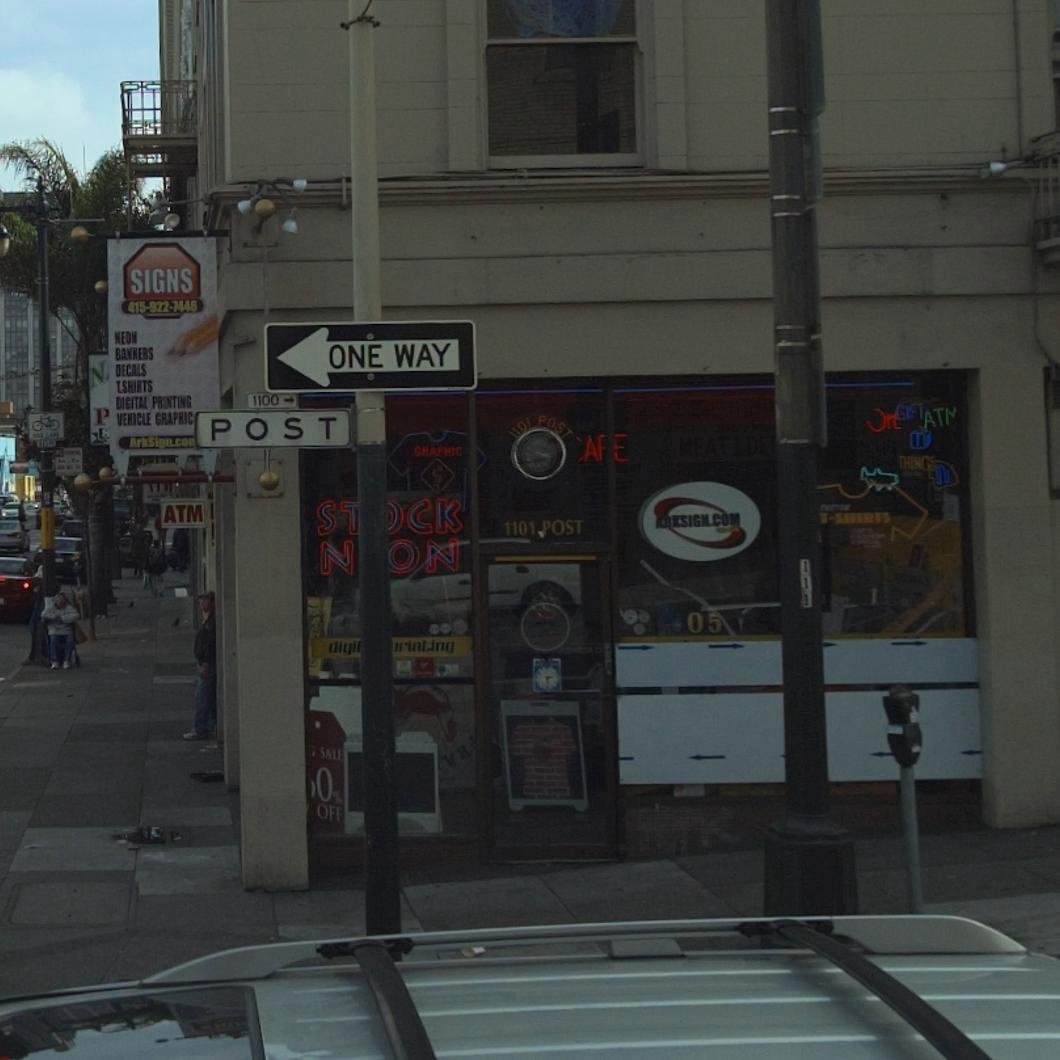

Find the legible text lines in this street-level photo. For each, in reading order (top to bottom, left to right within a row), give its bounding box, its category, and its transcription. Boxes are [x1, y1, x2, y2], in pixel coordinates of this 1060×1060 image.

[127, 264, 197, 299] None: SIGNS
[125, 296, 201, 316] None: 415-922-744*
[112, 328, 141, 347] None: NEON
[87, 354, 108, 394] None: N
[113, 361, 149, 379] None: DECALS
[113, 344, 156, 363] None: BANNERS
[113, 377, 156, 395] None: TSHIRTS
[327, 341, 453, 372] None: ONE WAY
[113, 392, 195, 412] None: DIGITAL PRINTING
[250, 392, 297, 408] StreetNumberRange: 1100->
[90, 404, 113, 429] None: P
[113, 409, 197, 429] None: VEHICLE GRAPHIC
[208, 414, 340, 444] StreetName: POST
[503, 413, 535, 442] StreetNumber: 1101
[534, 410, 578, 443] StreetName: POST
[921, 404, 948, 431] None: AT
[125, 433, 190, 453] None: ArkSign.co
[411, 442, 465, 459] None: GRAPHIC
[578, 429, 604, 467] None: A
[609, 429, 633, 466] None: E
[160, 501, 207, 526] None: ATM
[312, 495, 341, 540] None: S
[403, 493, 467, 539] None: CK
[501, 518, 537, 538] StreetNumber: 1101
[539, 517, 586, 538] StreetName: POST
[669, 510, 743, 530] None: KSIGN.COM
[832, 509, 894, 528] None: SHIRTS
[315, 535, 358, 579] None: N
[384, 533, 464, 578] None: ON
[799, 557, 813, 609] None: 111
[685, 608, 726, 636] None: 05
[317, 743, 345, 764] None: SALE
[313, 762, 336, 806] None: 0
[314, 798, 345, 826] None: OFF